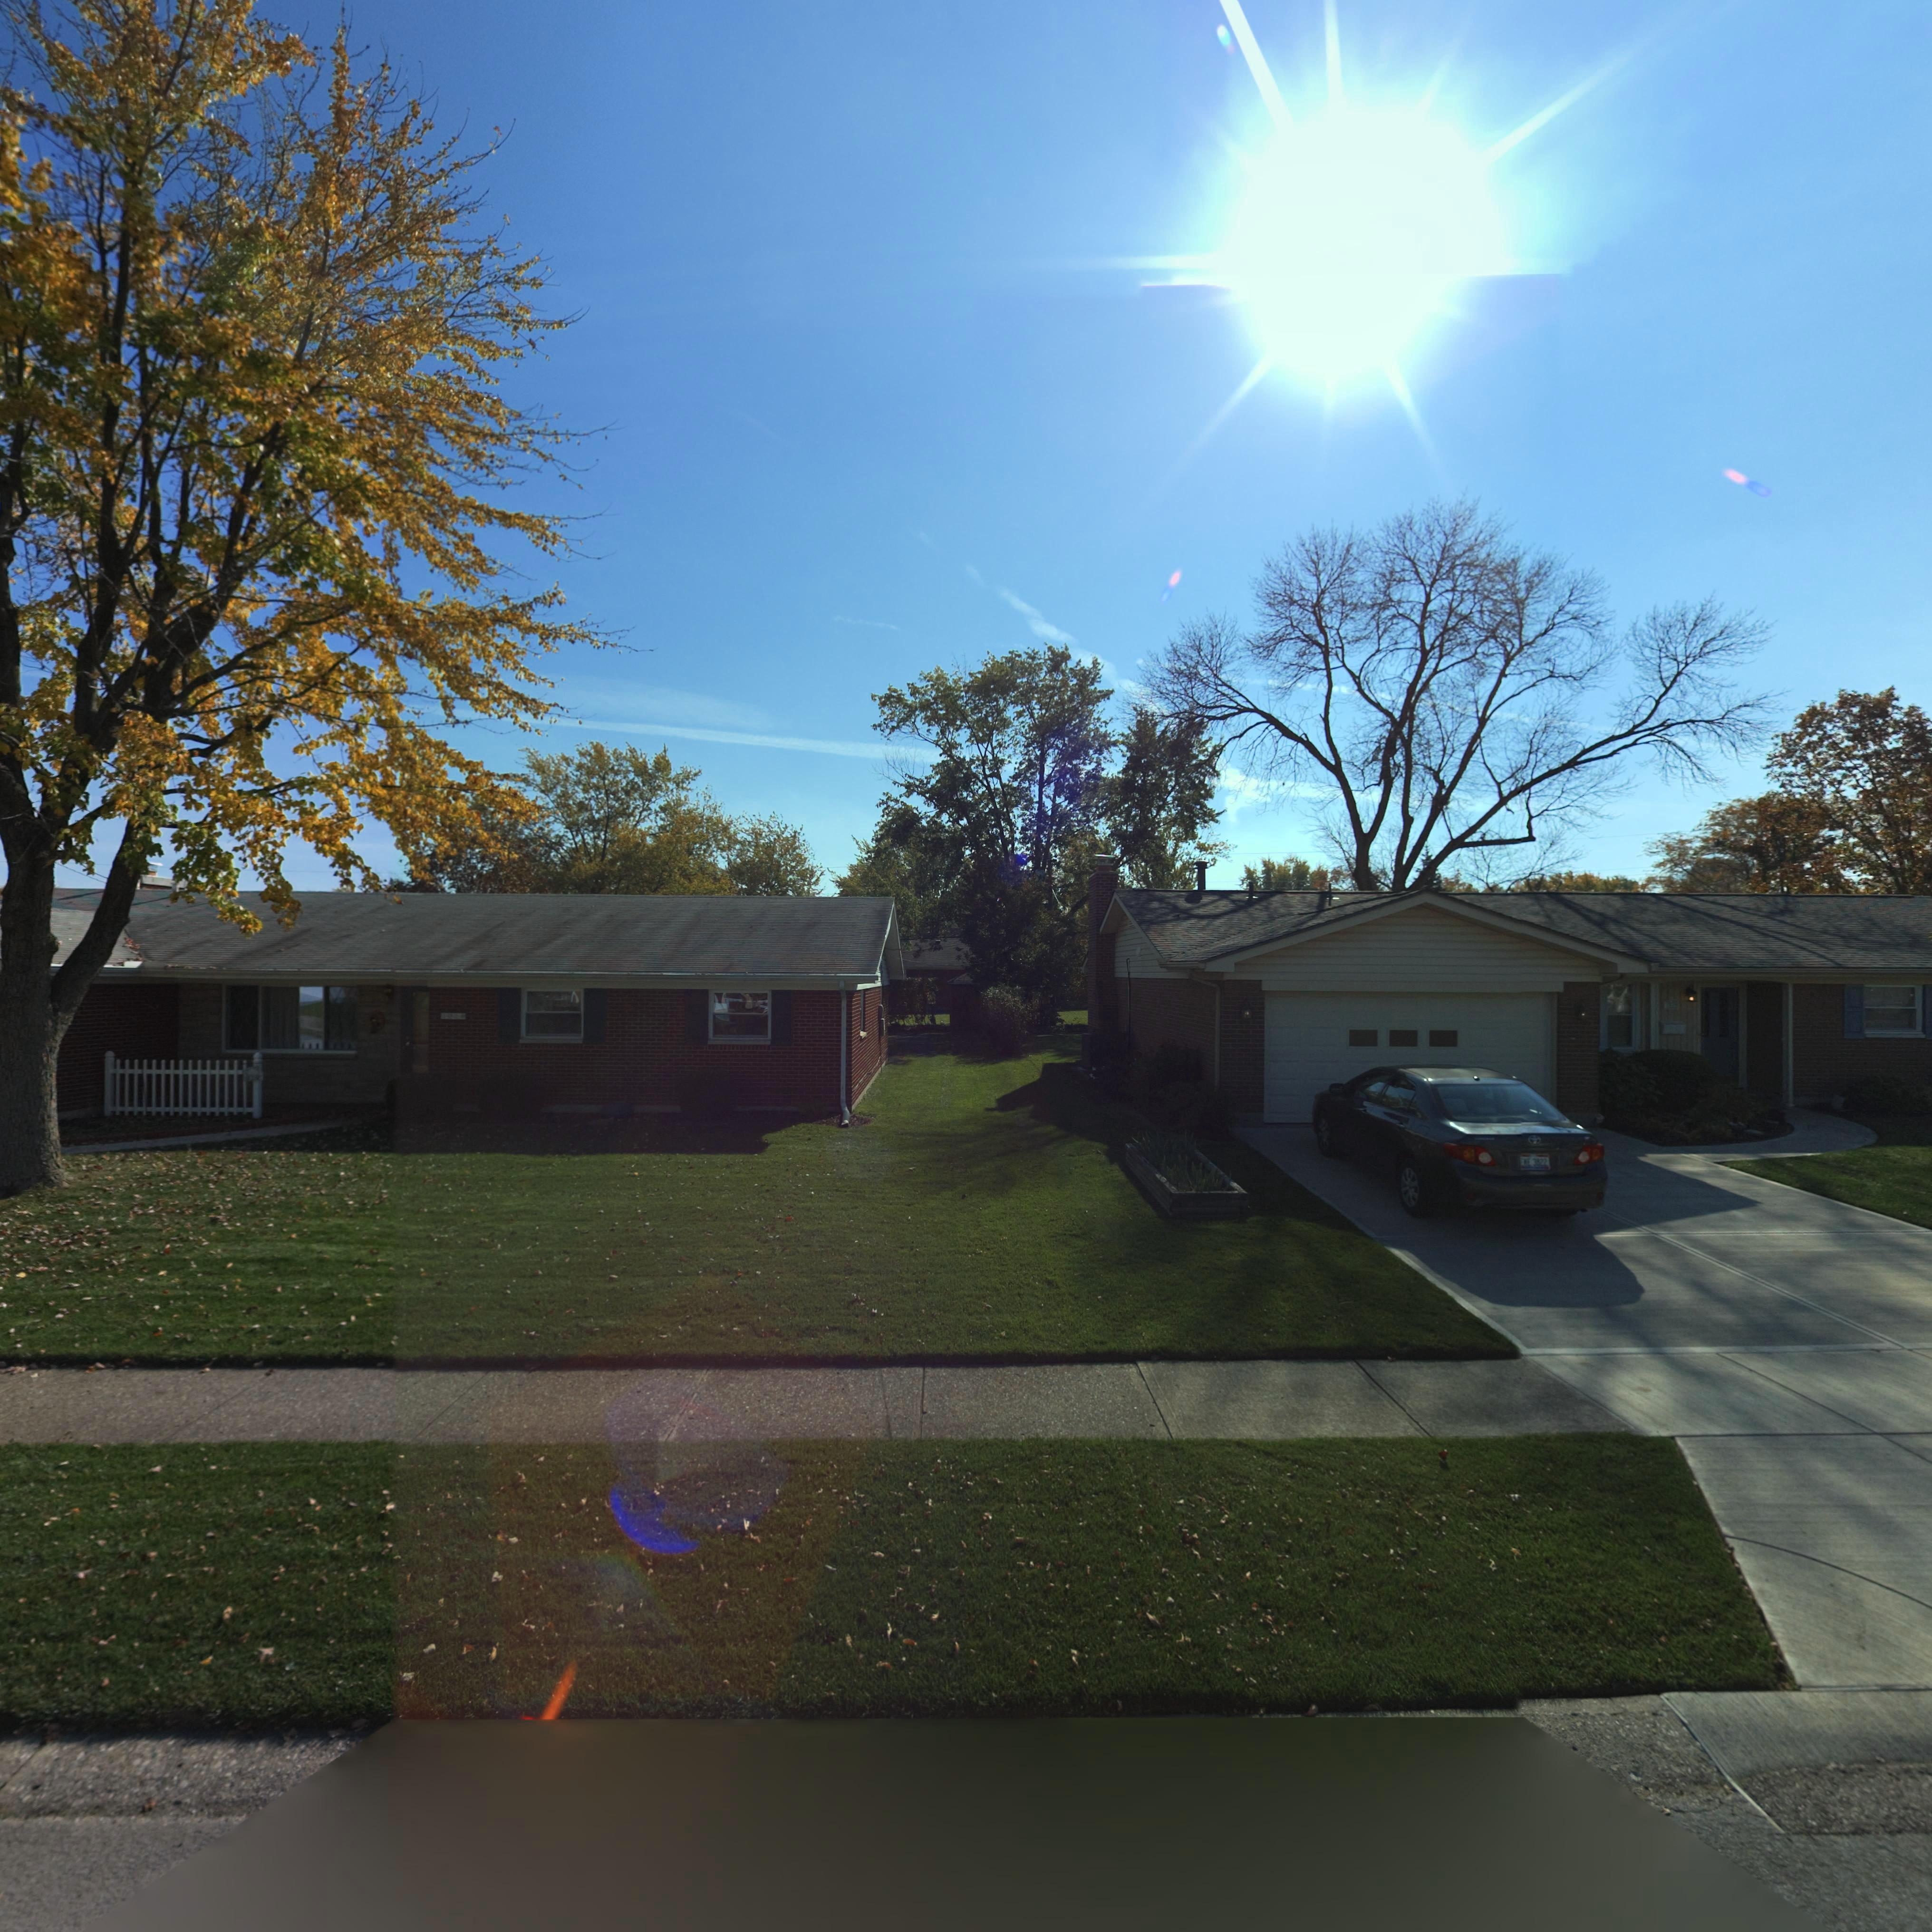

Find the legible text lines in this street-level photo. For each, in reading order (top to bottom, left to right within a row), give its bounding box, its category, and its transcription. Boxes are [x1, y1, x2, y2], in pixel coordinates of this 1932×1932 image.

[441, 1013, 466, 1019] StreetNumber: 10**